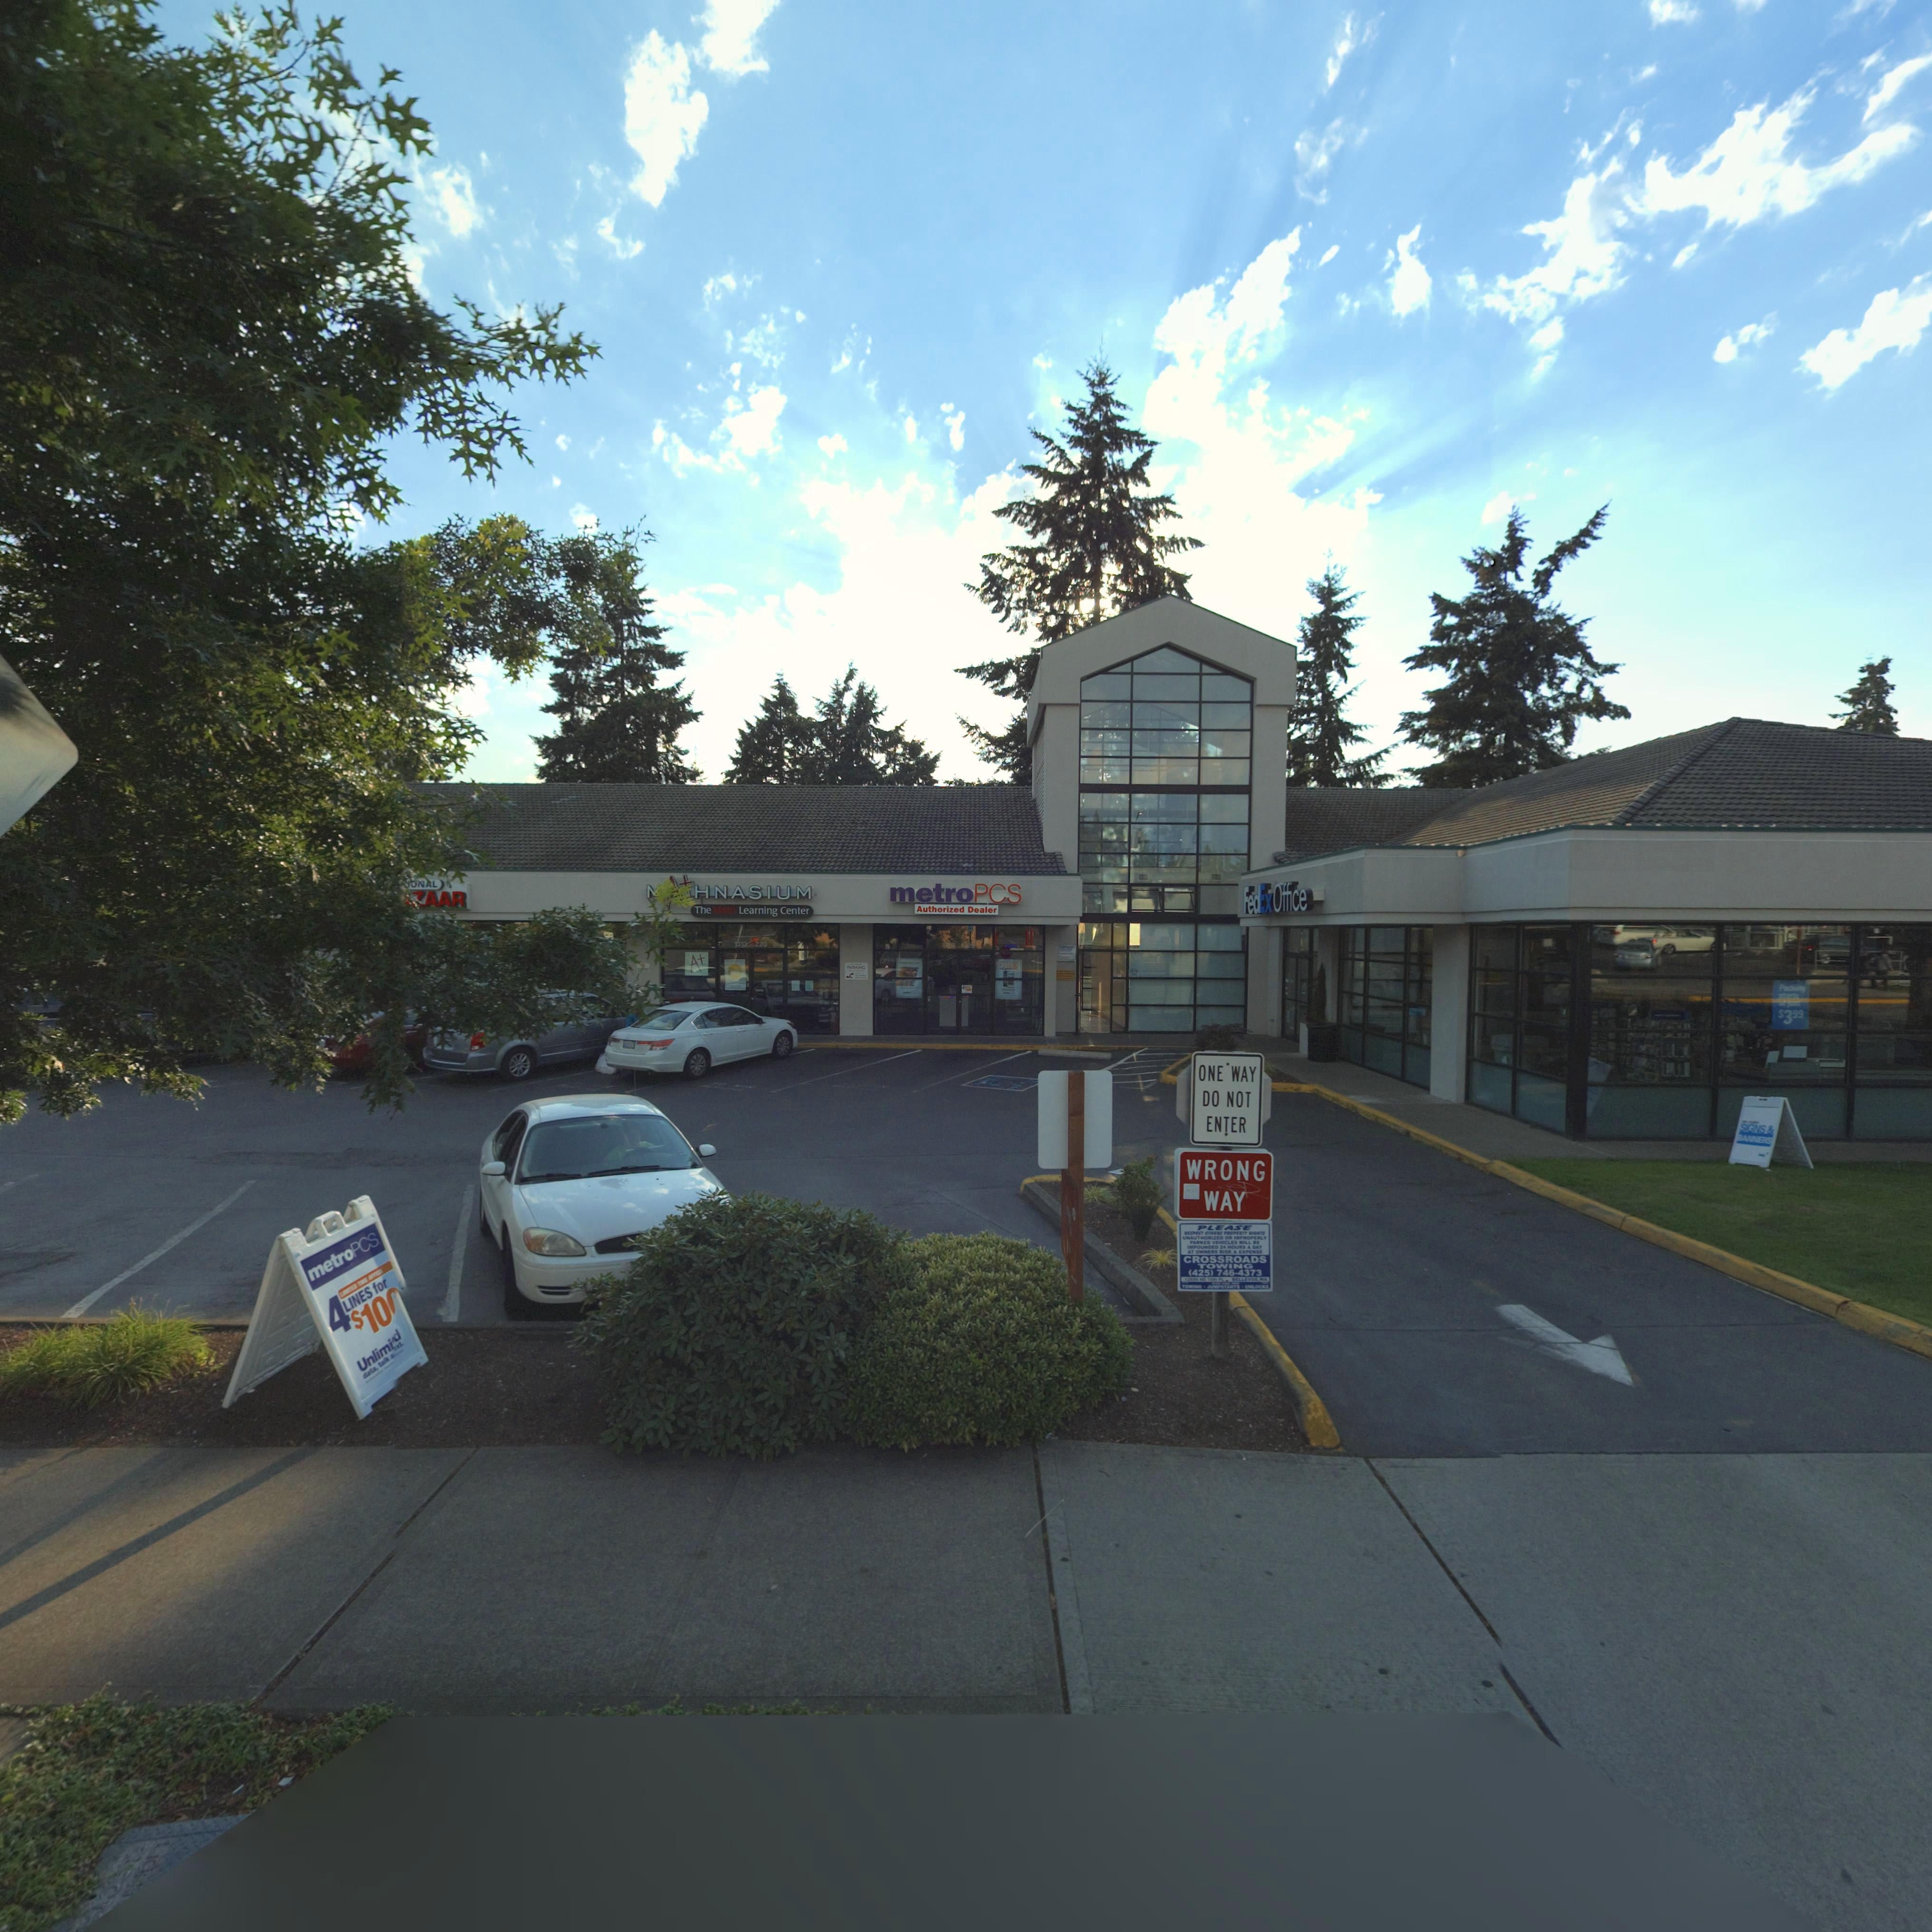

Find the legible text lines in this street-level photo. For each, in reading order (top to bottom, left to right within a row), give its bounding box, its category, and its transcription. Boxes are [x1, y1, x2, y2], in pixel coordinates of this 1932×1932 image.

[424, 890, 465, 907] BusinessName: AAR
[694, 884, 812, 900] BusinessName: HNASIUM
[889, 883, 1021, 904] BusinessName: metroPCS
[1243, 880, 1309, 915] BusinessName: FedExOffice